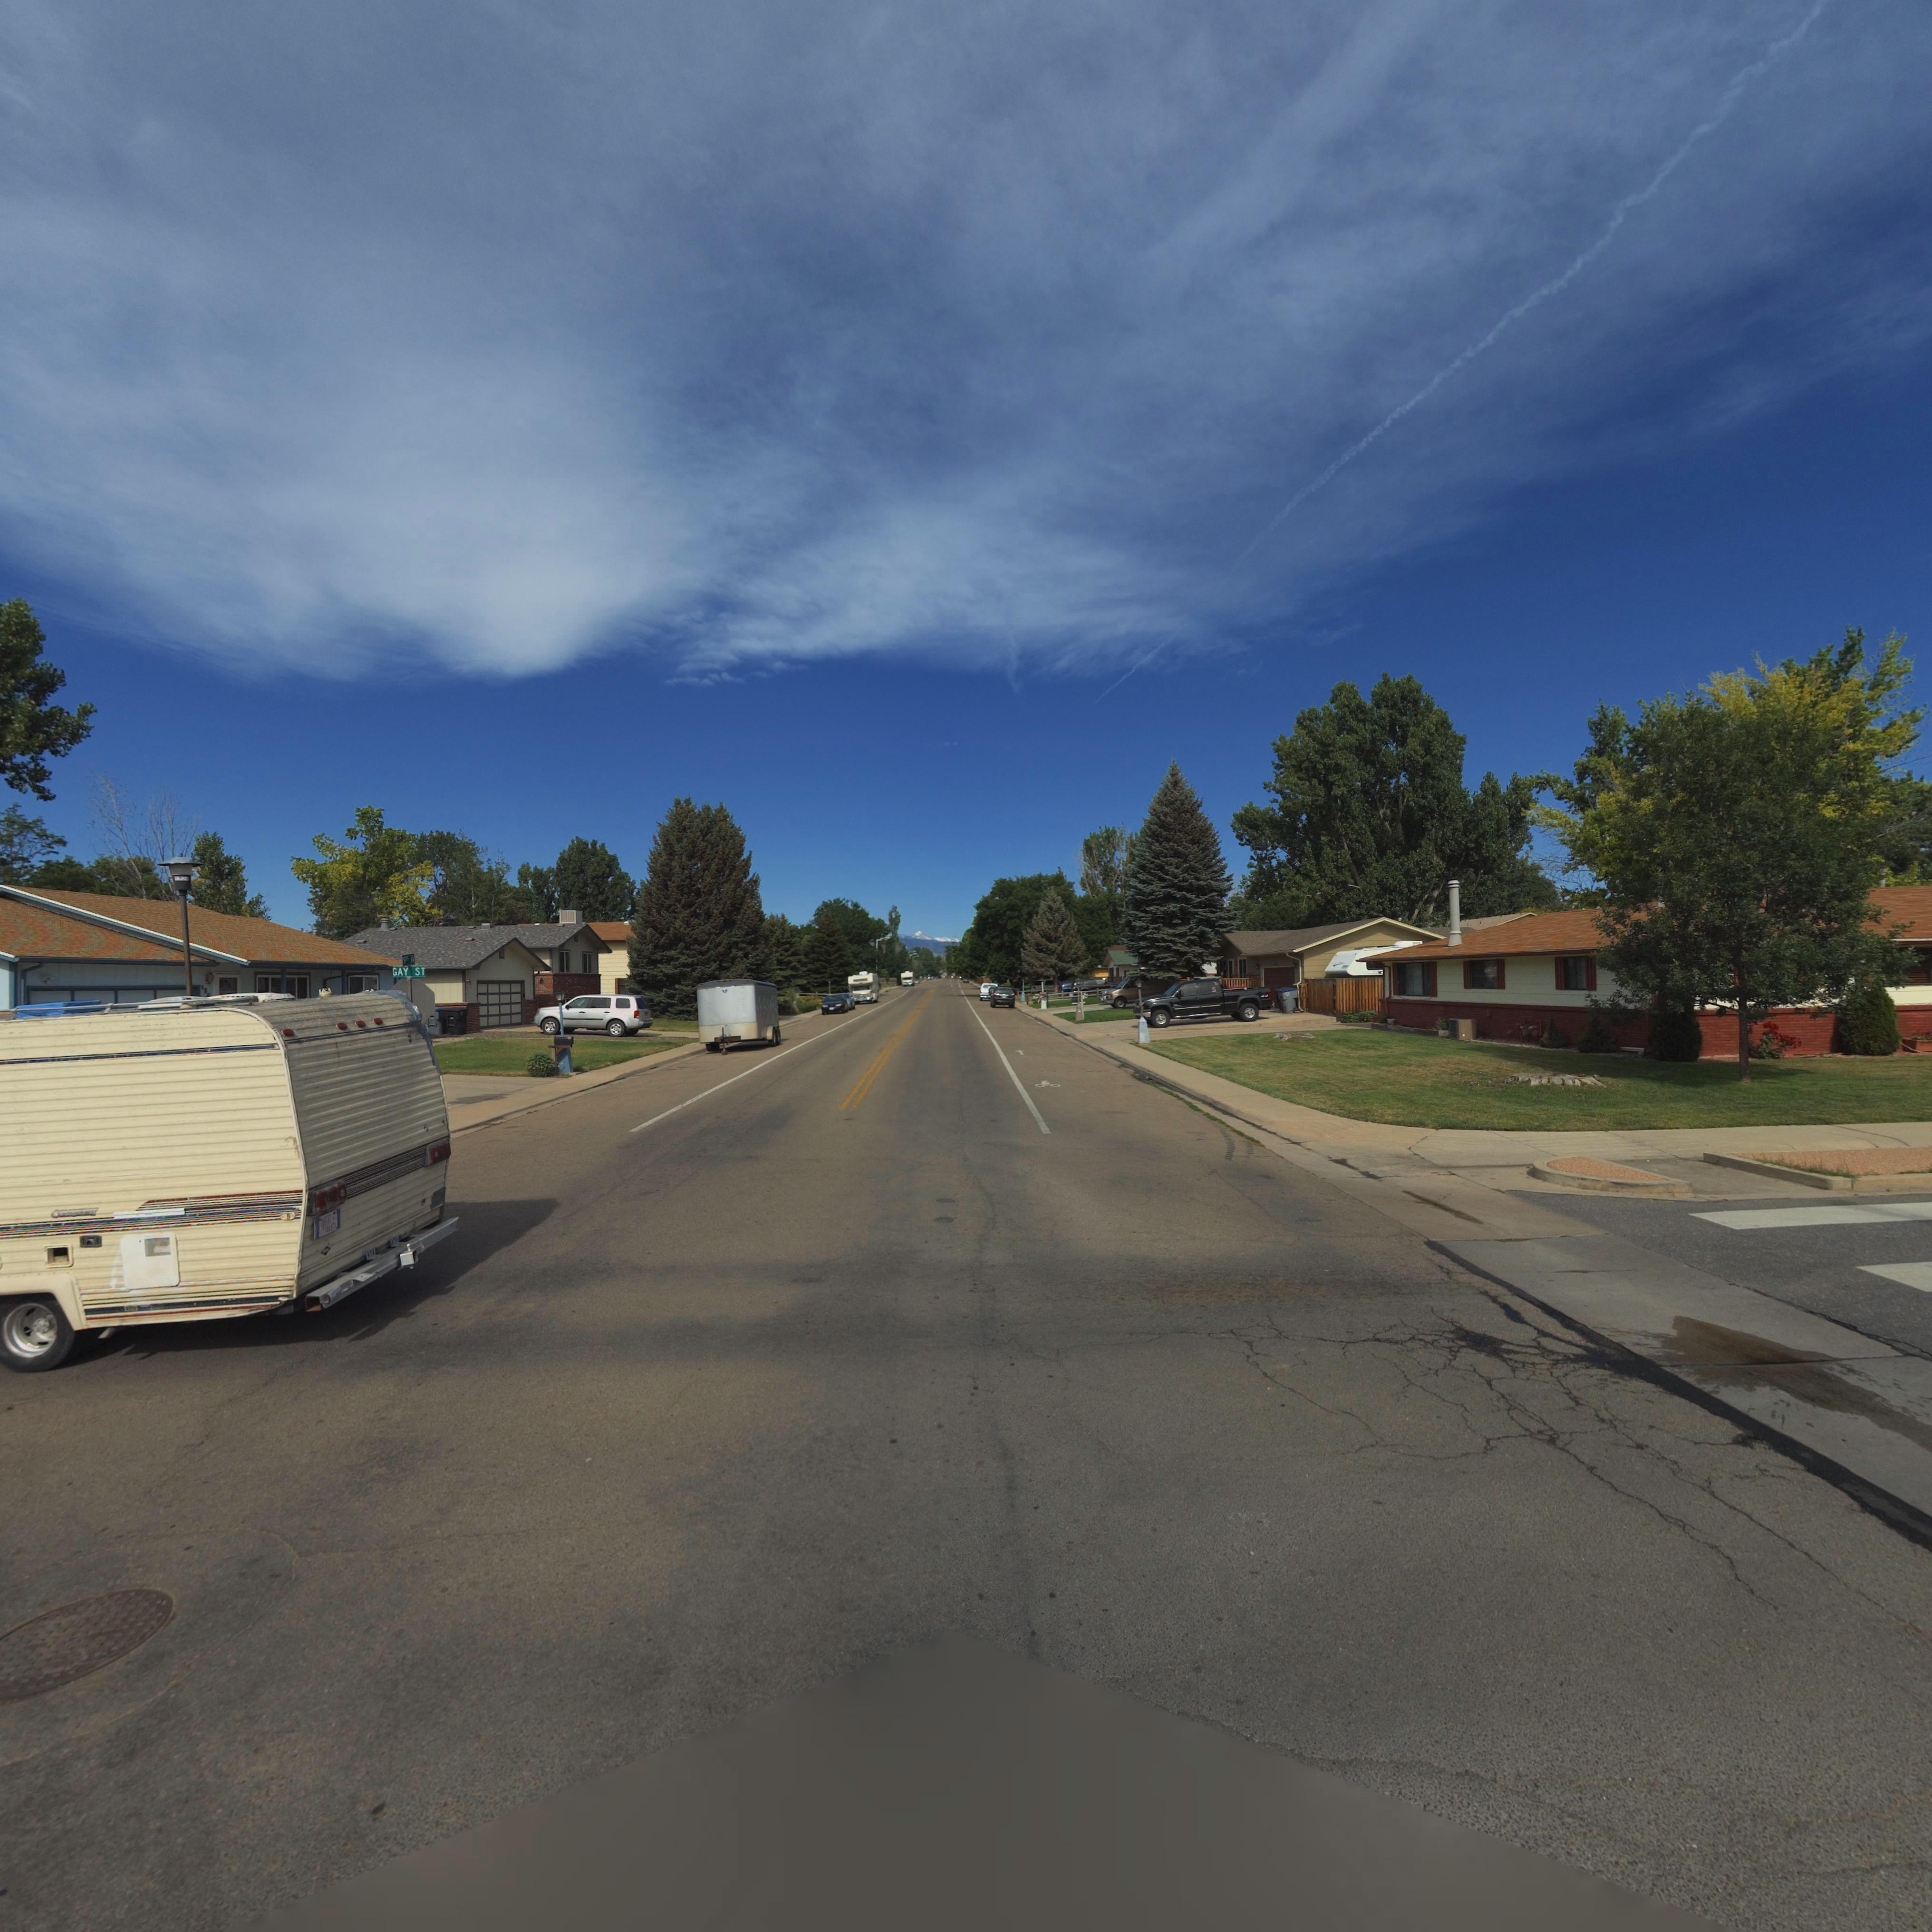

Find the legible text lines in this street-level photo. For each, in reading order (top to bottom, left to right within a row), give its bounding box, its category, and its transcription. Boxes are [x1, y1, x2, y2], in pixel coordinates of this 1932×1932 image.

[402, 955, 415, 965] StreetName: 19TH AV
[392, 966, 425, 976] StreetName: GAY ST
[200, 983, 211, 998] StreetNumber: 13*